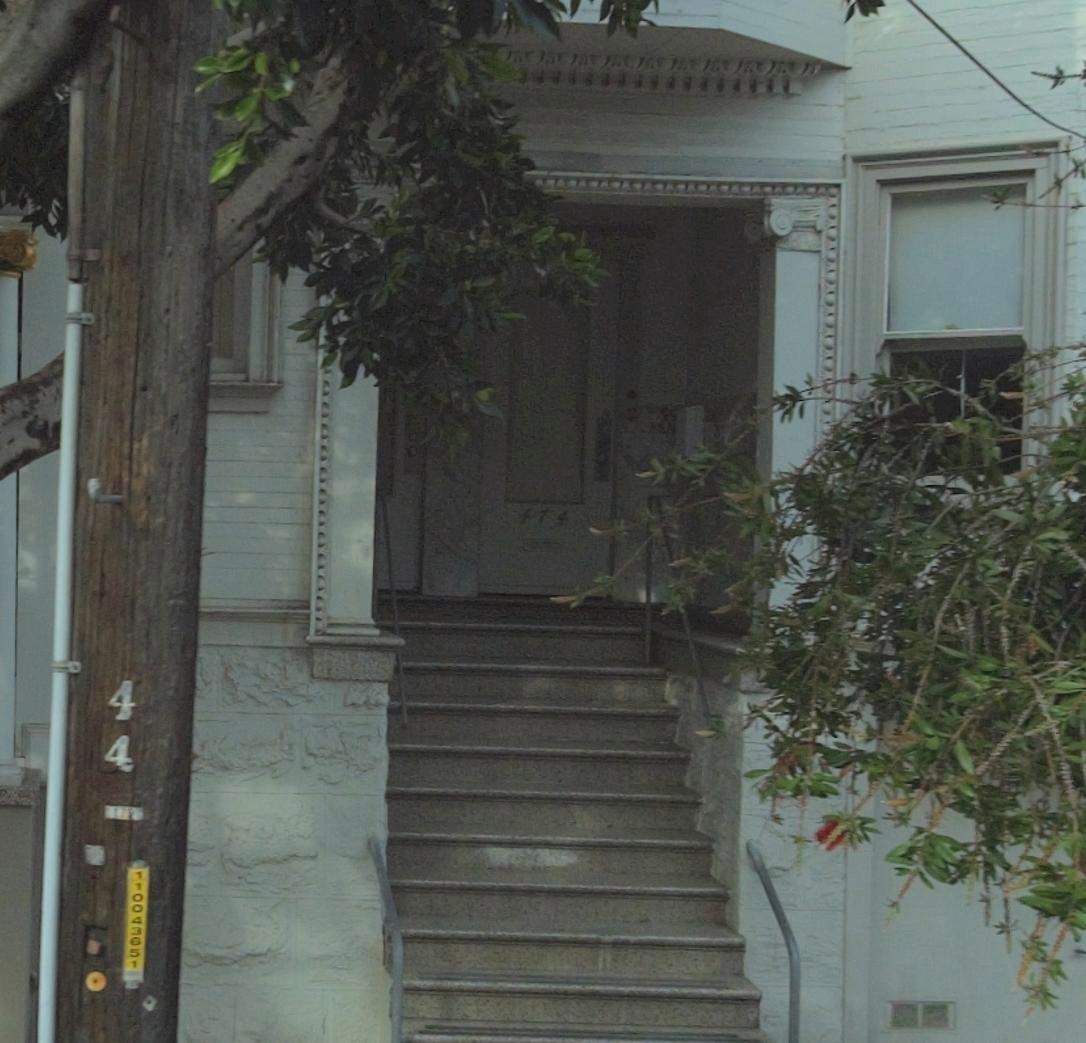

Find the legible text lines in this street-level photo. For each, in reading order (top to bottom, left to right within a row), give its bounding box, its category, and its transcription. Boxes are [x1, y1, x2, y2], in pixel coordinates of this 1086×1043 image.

[517, 508, 569, 526] StreetNumber: 474
[102, 678, 138, 774] None: 44
[128, 868, 142, 970] None: 110043*51